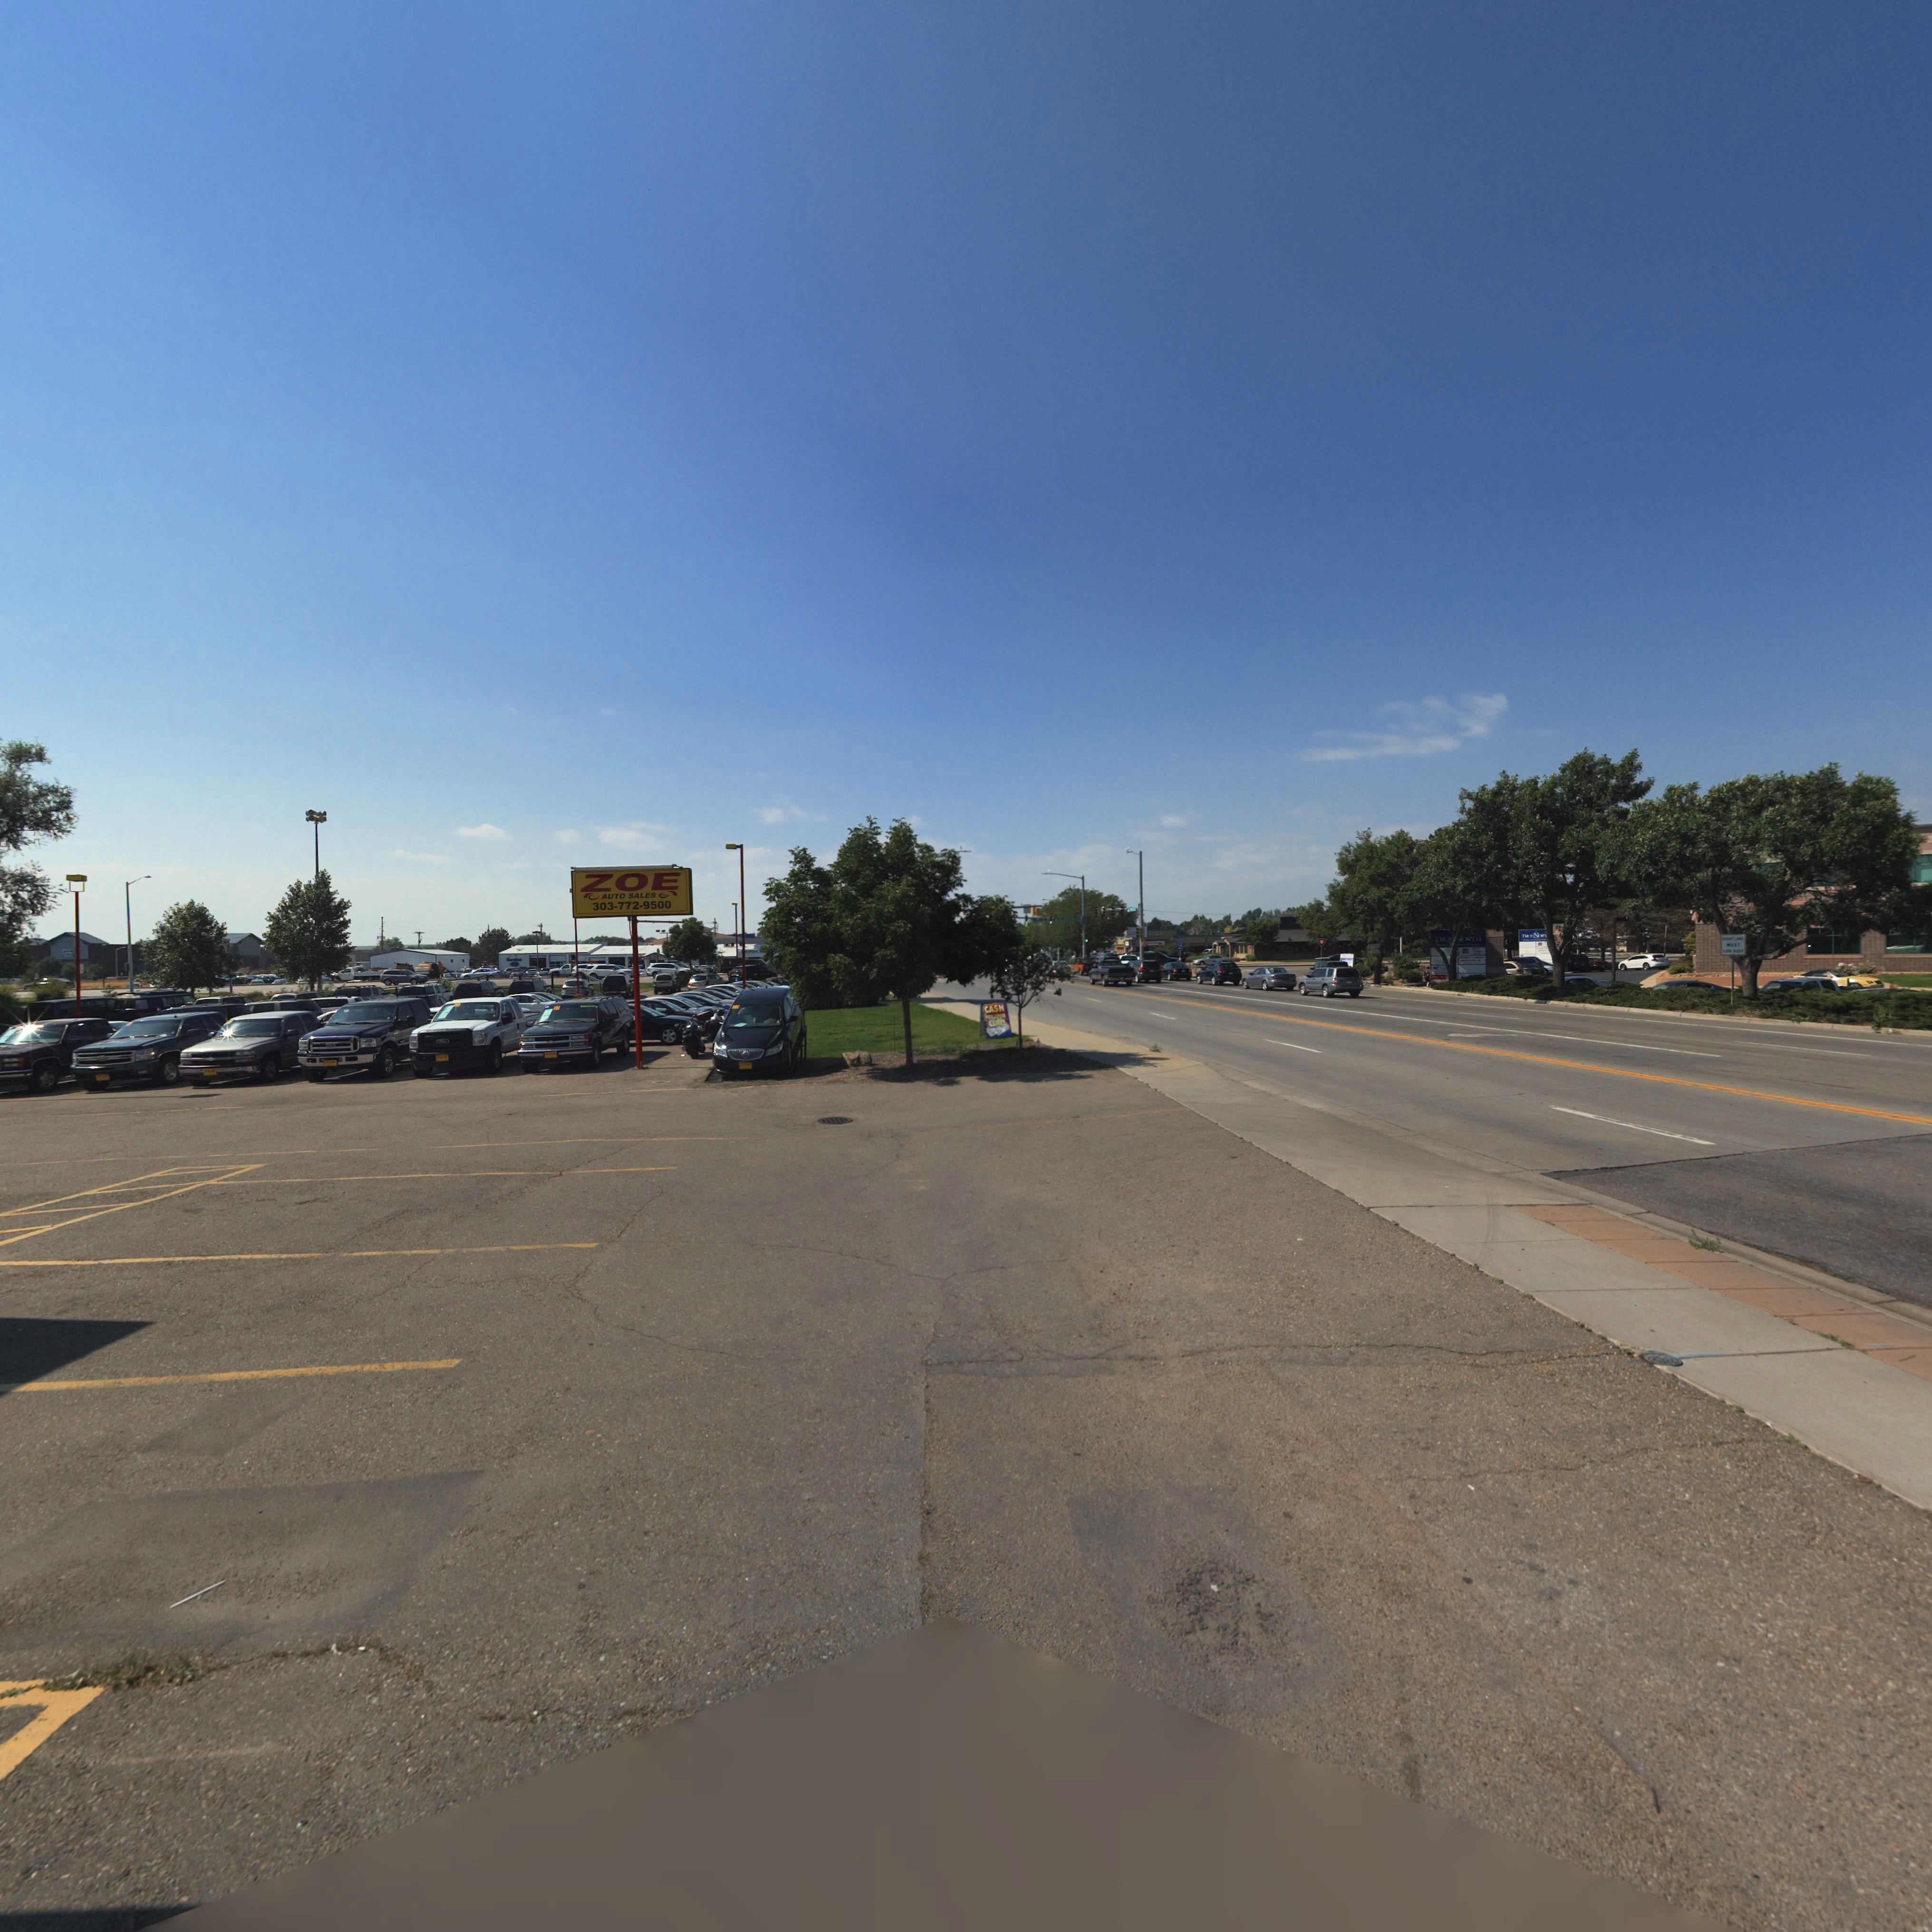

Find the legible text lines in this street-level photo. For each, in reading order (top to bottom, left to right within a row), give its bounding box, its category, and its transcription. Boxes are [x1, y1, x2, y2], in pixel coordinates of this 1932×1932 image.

[580, 871, 682, 893] BusinessName: ZOE
[601, 892, 657, 899] BusinessName: AUTO SALES